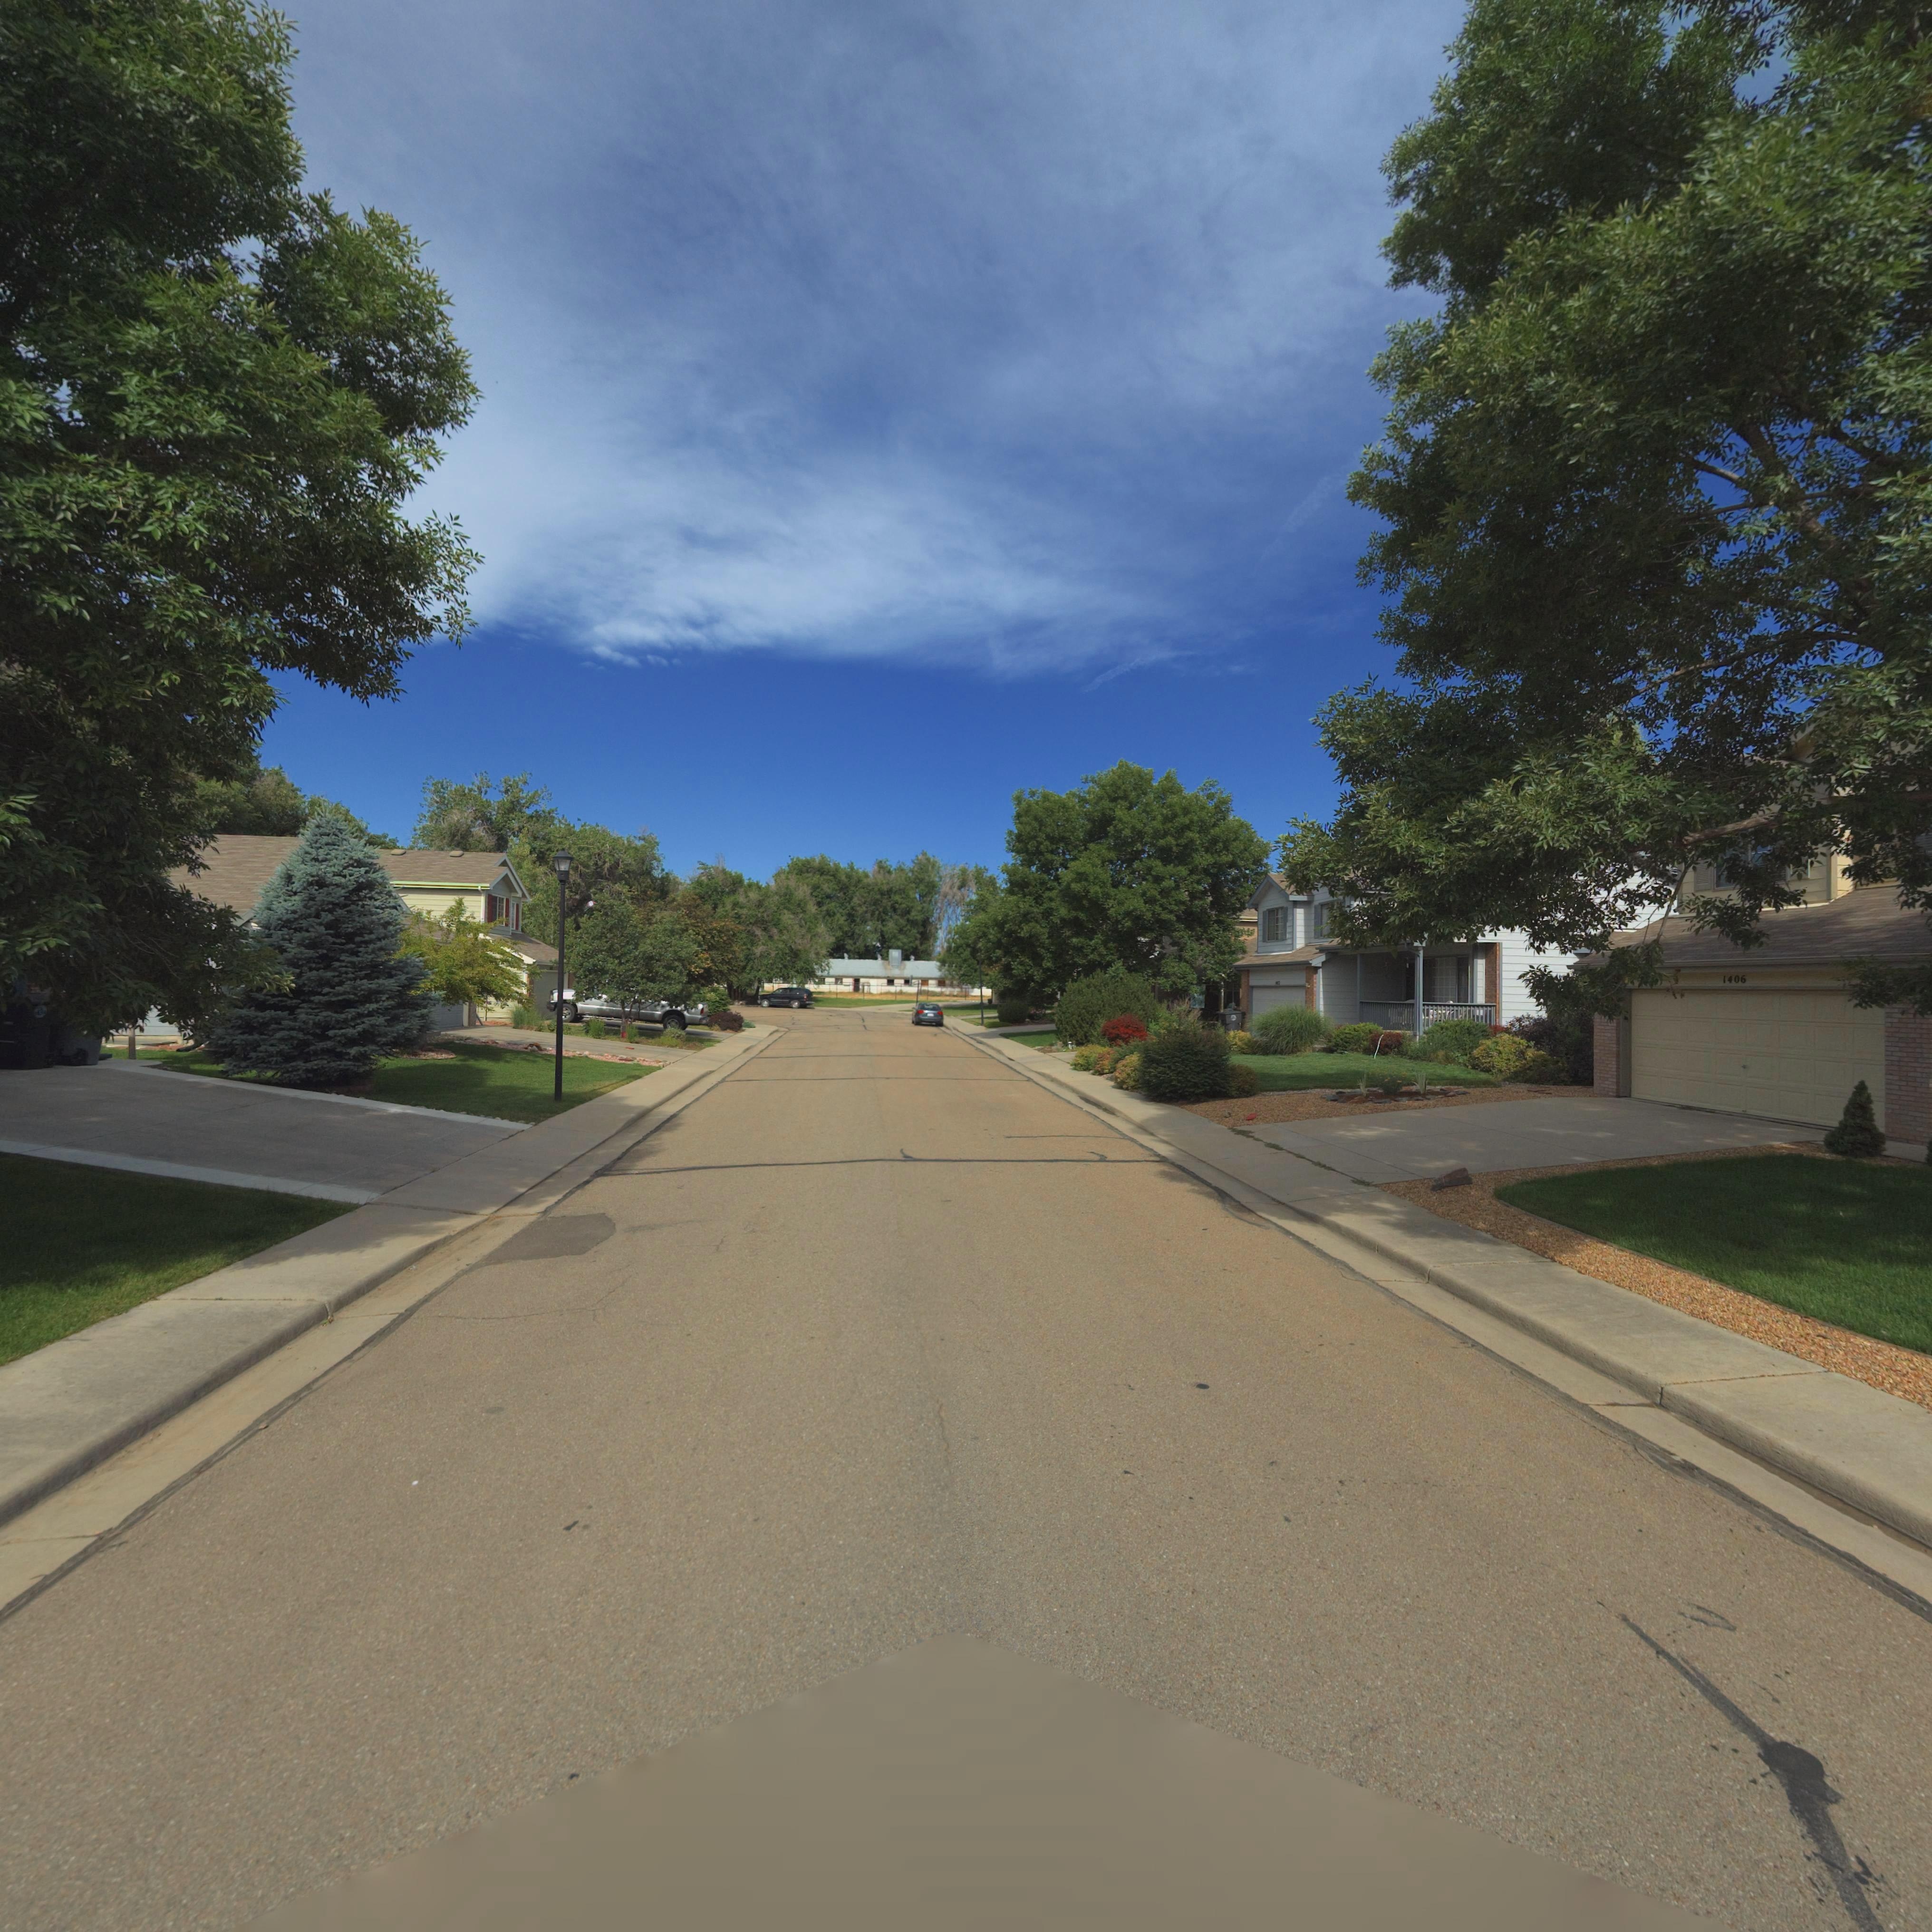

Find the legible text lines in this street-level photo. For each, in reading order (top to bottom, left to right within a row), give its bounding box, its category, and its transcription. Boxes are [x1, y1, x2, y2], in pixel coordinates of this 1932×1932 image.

[1275, 980, 1280, 985] StreetNumber: 14*2
[1722, 974, 1747, 984] StreetNumber: 1406